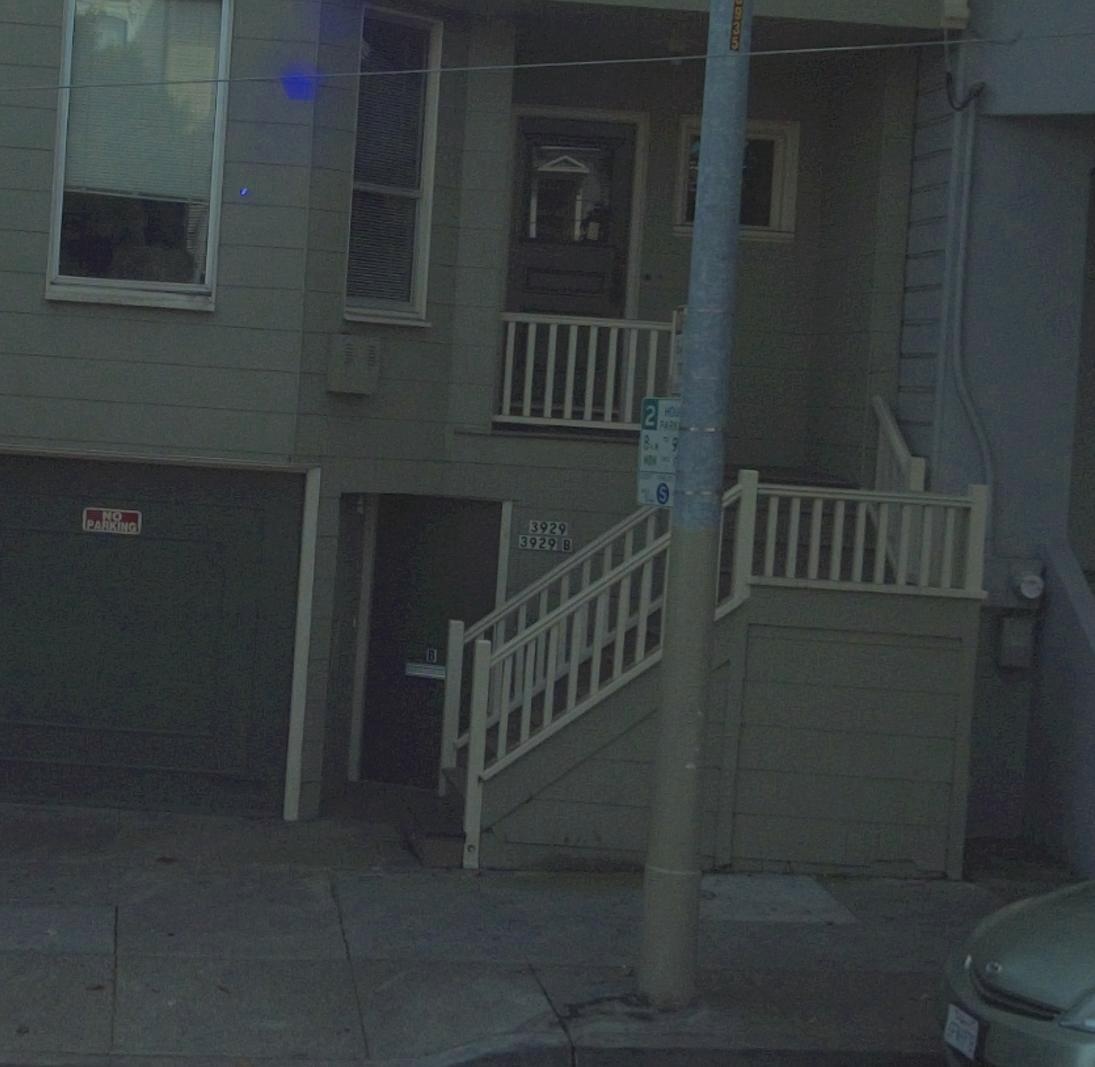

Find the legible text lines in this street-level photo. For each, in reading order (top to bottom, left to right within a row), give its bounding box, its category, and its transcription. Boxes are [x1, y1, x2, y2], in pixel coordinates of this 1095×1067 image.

[730, 6, 742, 50] None: 935
[644, 404, 657, 426] None: 2
[664, 405, 680, 418] None: HOU
[658, 419, 679, 433] None: PARK*
[643, 433, 650, 451] None: 8
[662, 436, 670, 443] None: TO
[670, 436, 680, 453] None: 9
[642, 454, 657, 467] None: MON
[659, 454, 672, 463] None: THRU
[659, 486, 668, 503] None: S
[101, 510, 123, 522] None: NO
[86, 519, 137, 532] None: PARKING
[530, 521, 568, 535] StreetNumber: 3929
[519, 535, 572, 551] StreetNumber: 3929 B
[427, 649, 436, 662] StreetNumber: B